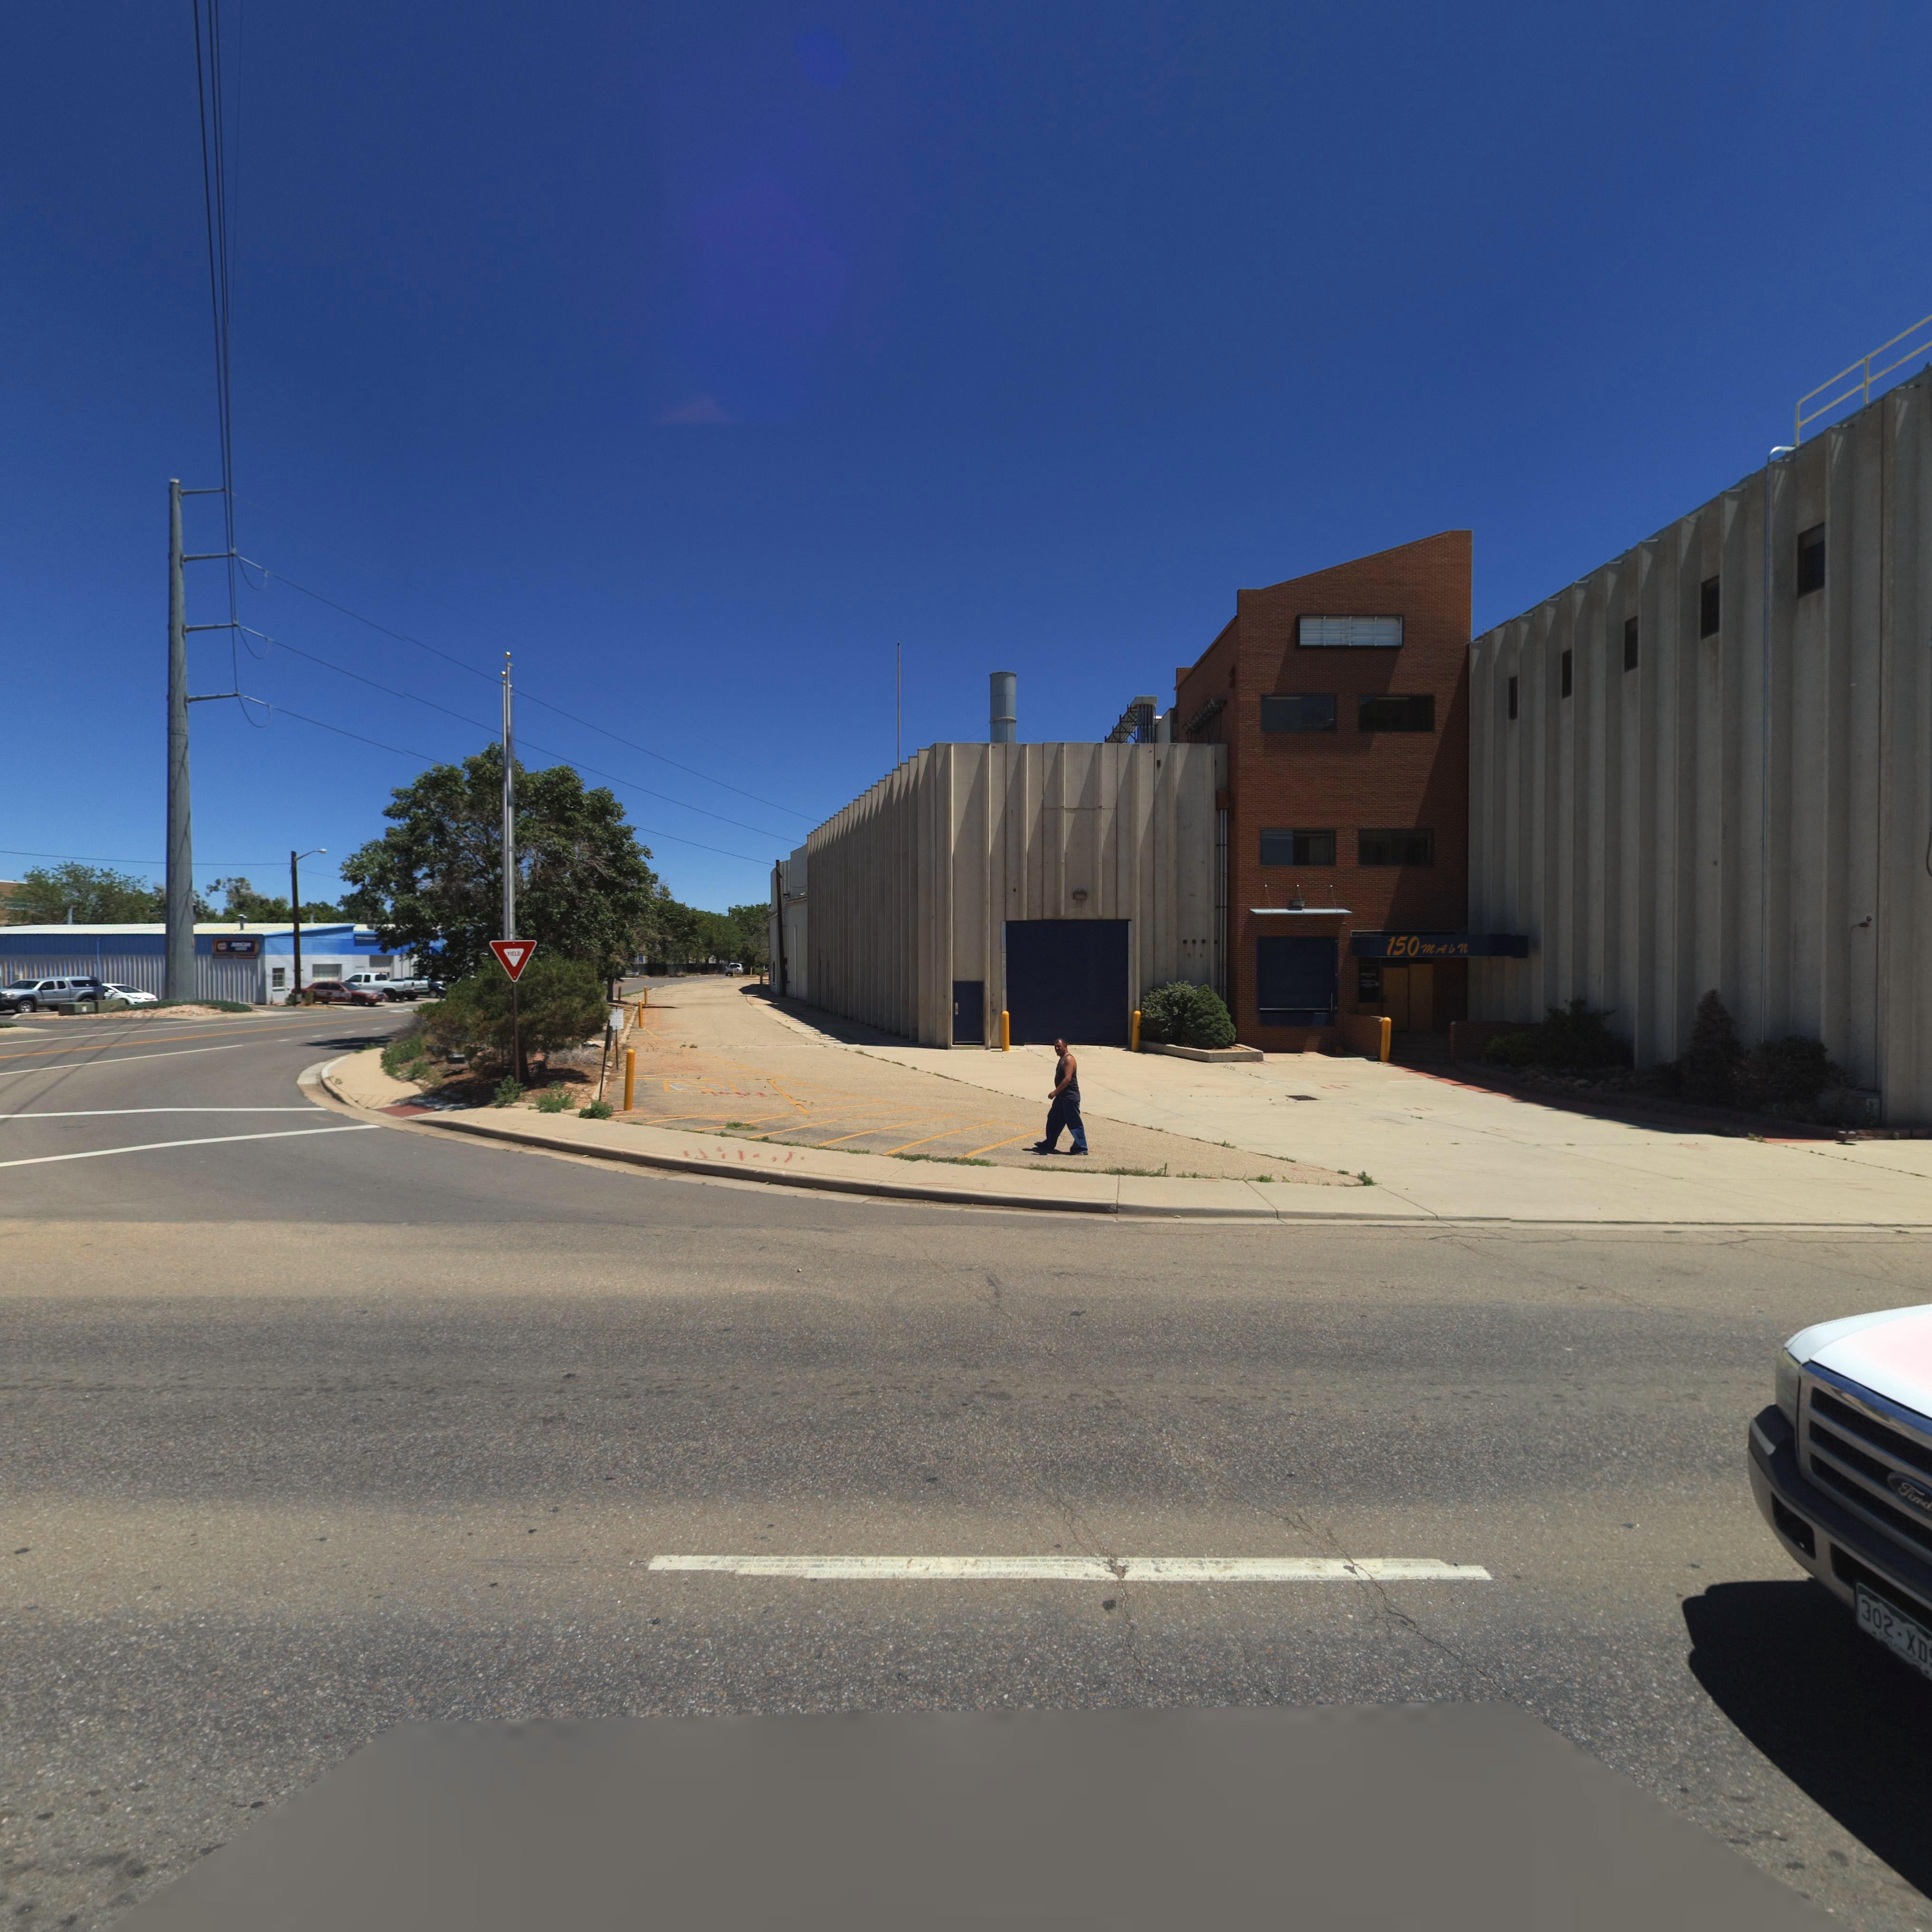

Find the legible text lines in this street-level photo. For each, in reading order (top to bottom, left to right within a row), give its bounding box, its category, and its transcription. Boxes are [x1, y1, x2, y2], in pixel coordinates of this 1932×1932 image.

[1385, 936, 1420, 956] StreetNumber: 150
[1420, 943, 1469, 954] StreetName: MAIn